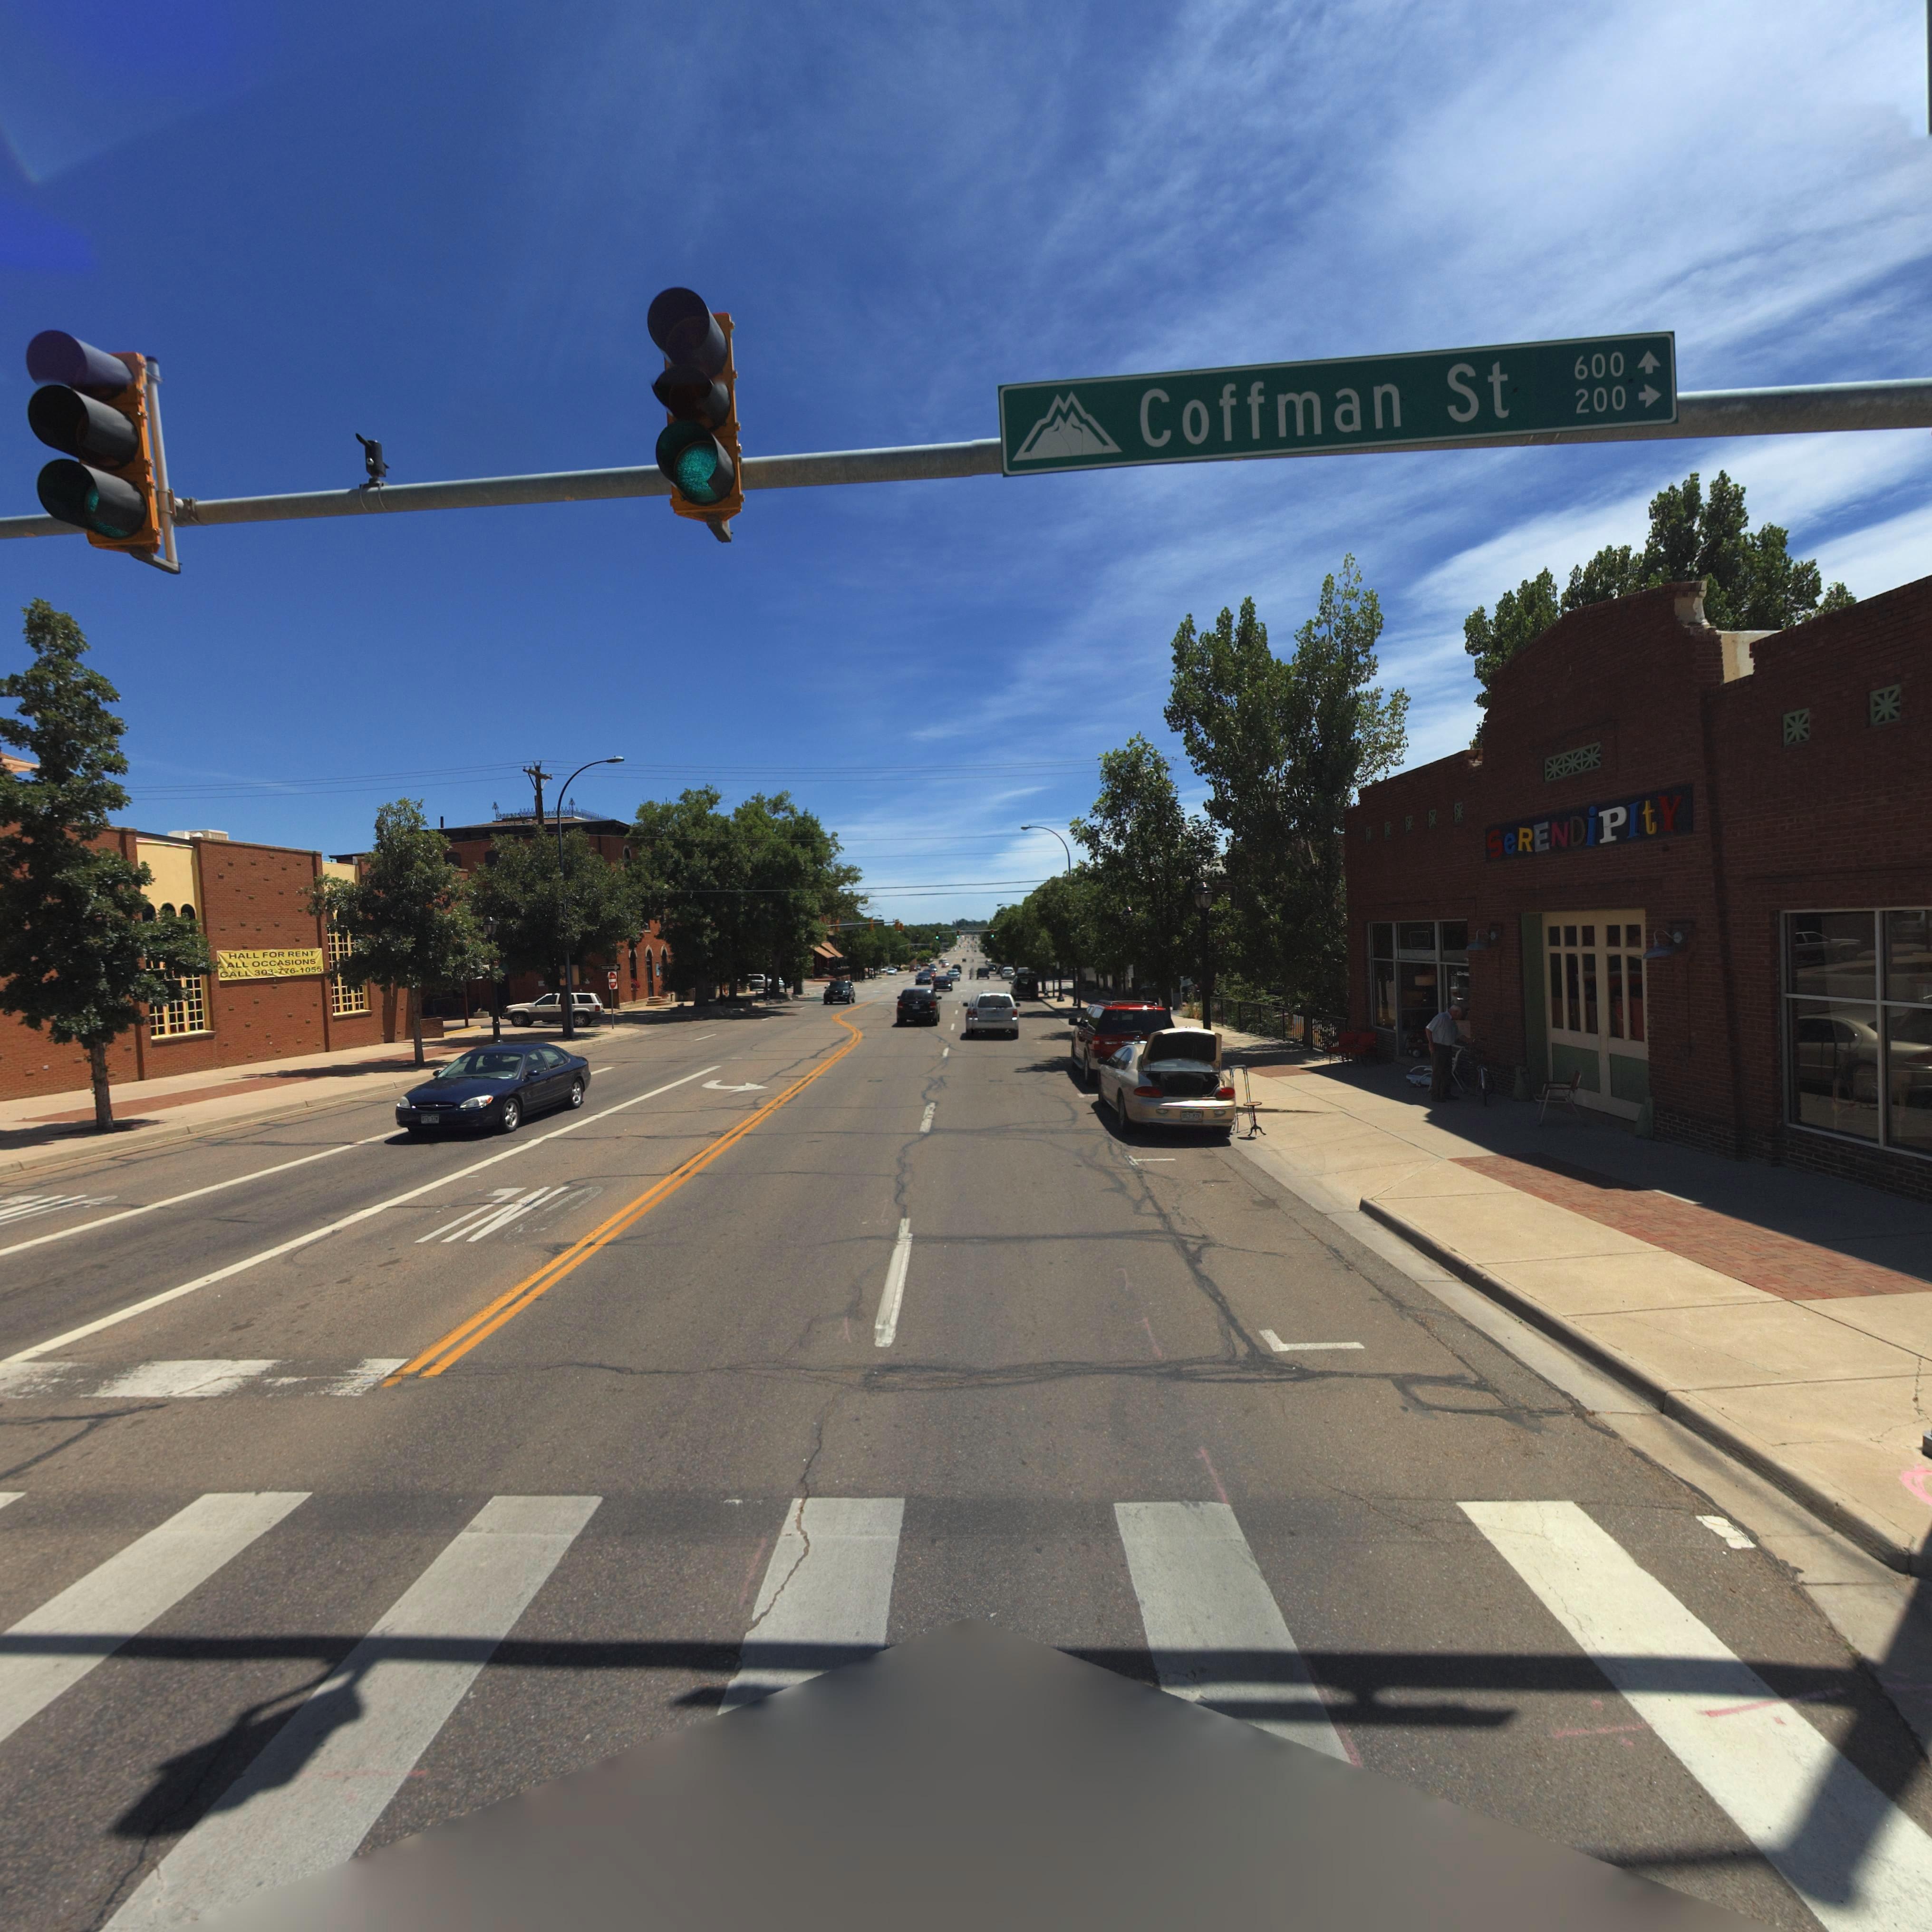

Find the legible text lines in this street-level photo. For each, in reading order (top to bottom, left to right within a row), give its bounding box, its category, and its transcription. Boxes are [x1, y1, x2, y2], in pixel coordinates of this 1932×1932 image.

[1573, 351, 1625, 380] StreetNumberRange: 600
[1138, 361, 1510, 448] StreetName: Coffman St
[1574, 384, 1662, 414] StreetNumberRange: 200->
[1486, 793, 1683, 860] BusinessName: SeRENDiPItY